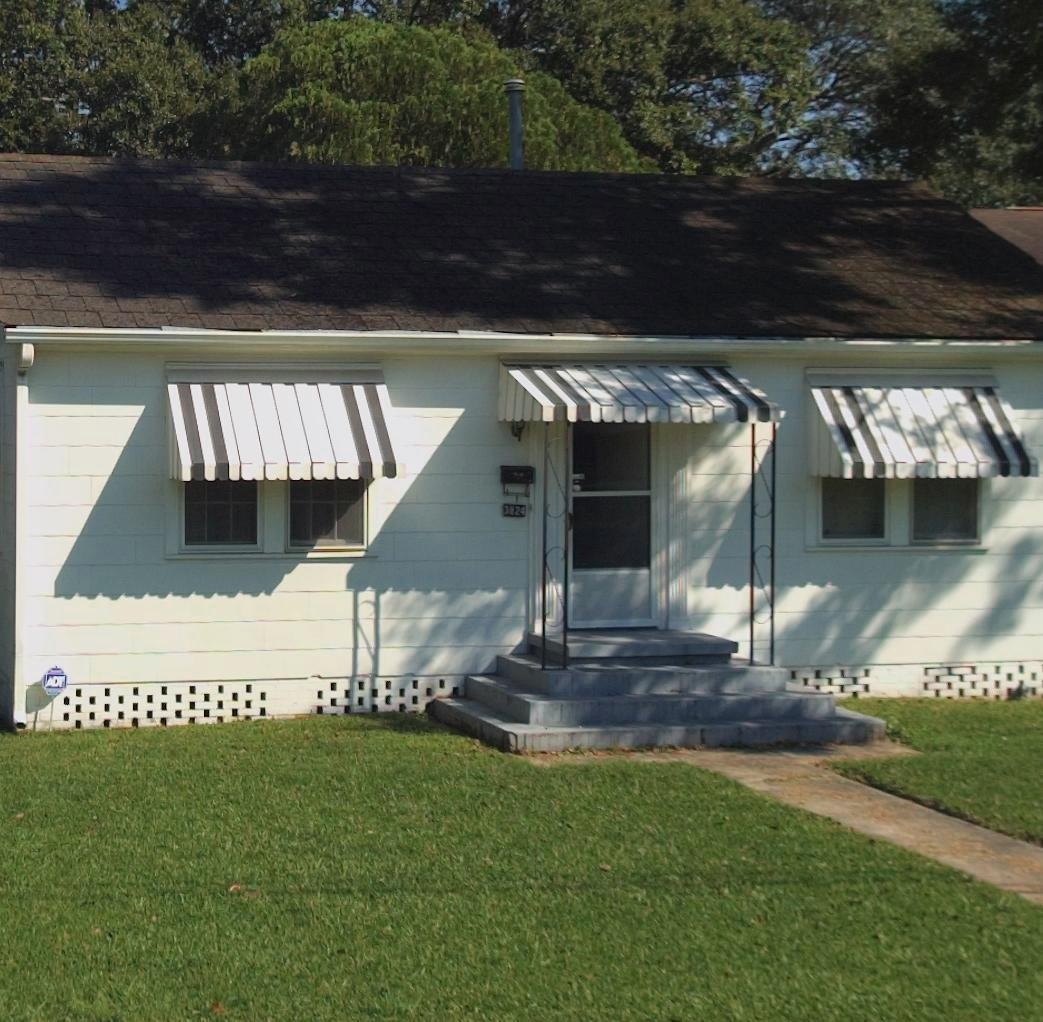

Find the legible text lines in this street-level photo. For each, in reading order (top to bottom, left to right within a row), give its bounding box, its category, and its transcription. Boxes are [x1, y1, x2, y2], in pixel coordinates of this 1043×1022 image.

[503, 504, 526, 518] StreetNumber: 3824
[44, 675, 67, 688] None: ADT